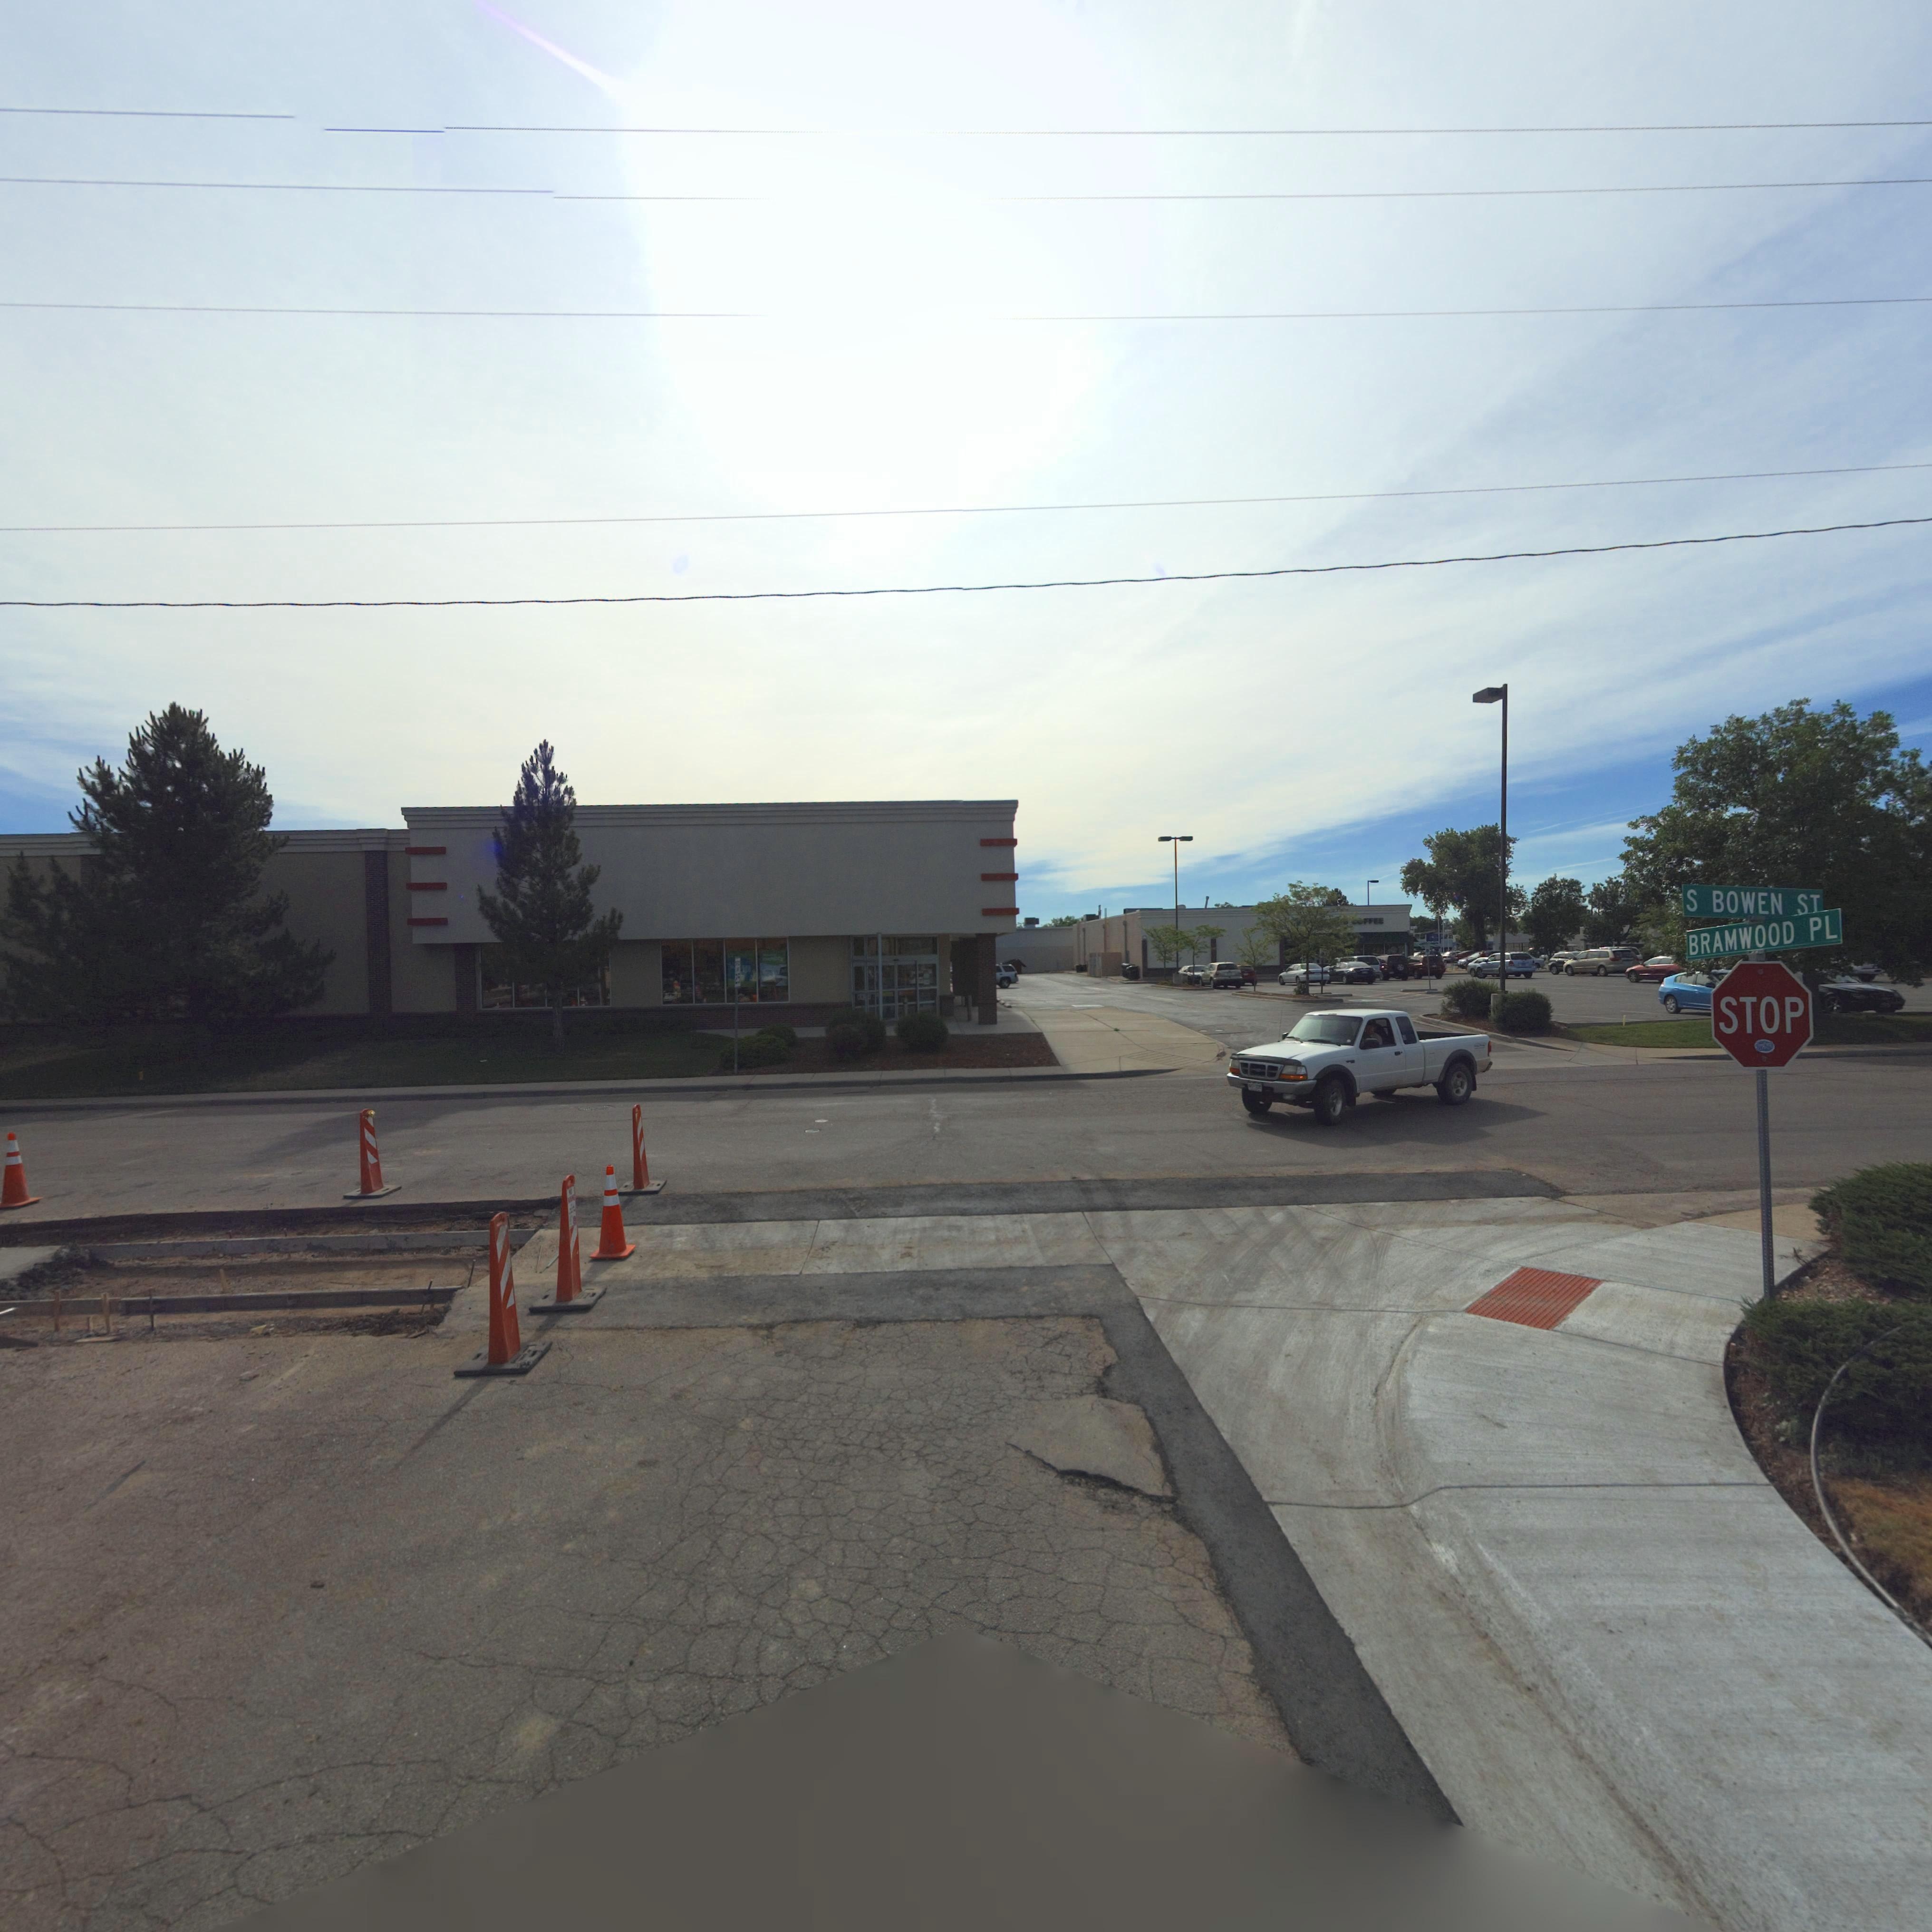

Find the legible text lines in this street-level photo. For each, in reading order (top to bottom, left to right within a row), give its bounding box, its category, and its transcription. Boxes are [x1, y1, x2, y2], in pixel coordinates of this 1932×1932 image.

[1686, 889, 1820, 914] StreetName: S BOWEN ST
[1363, 917, 1384, 924] BusinessName: FFEE
[1689, 916, 1837, 956] StreetName: BRAMWOOD PL